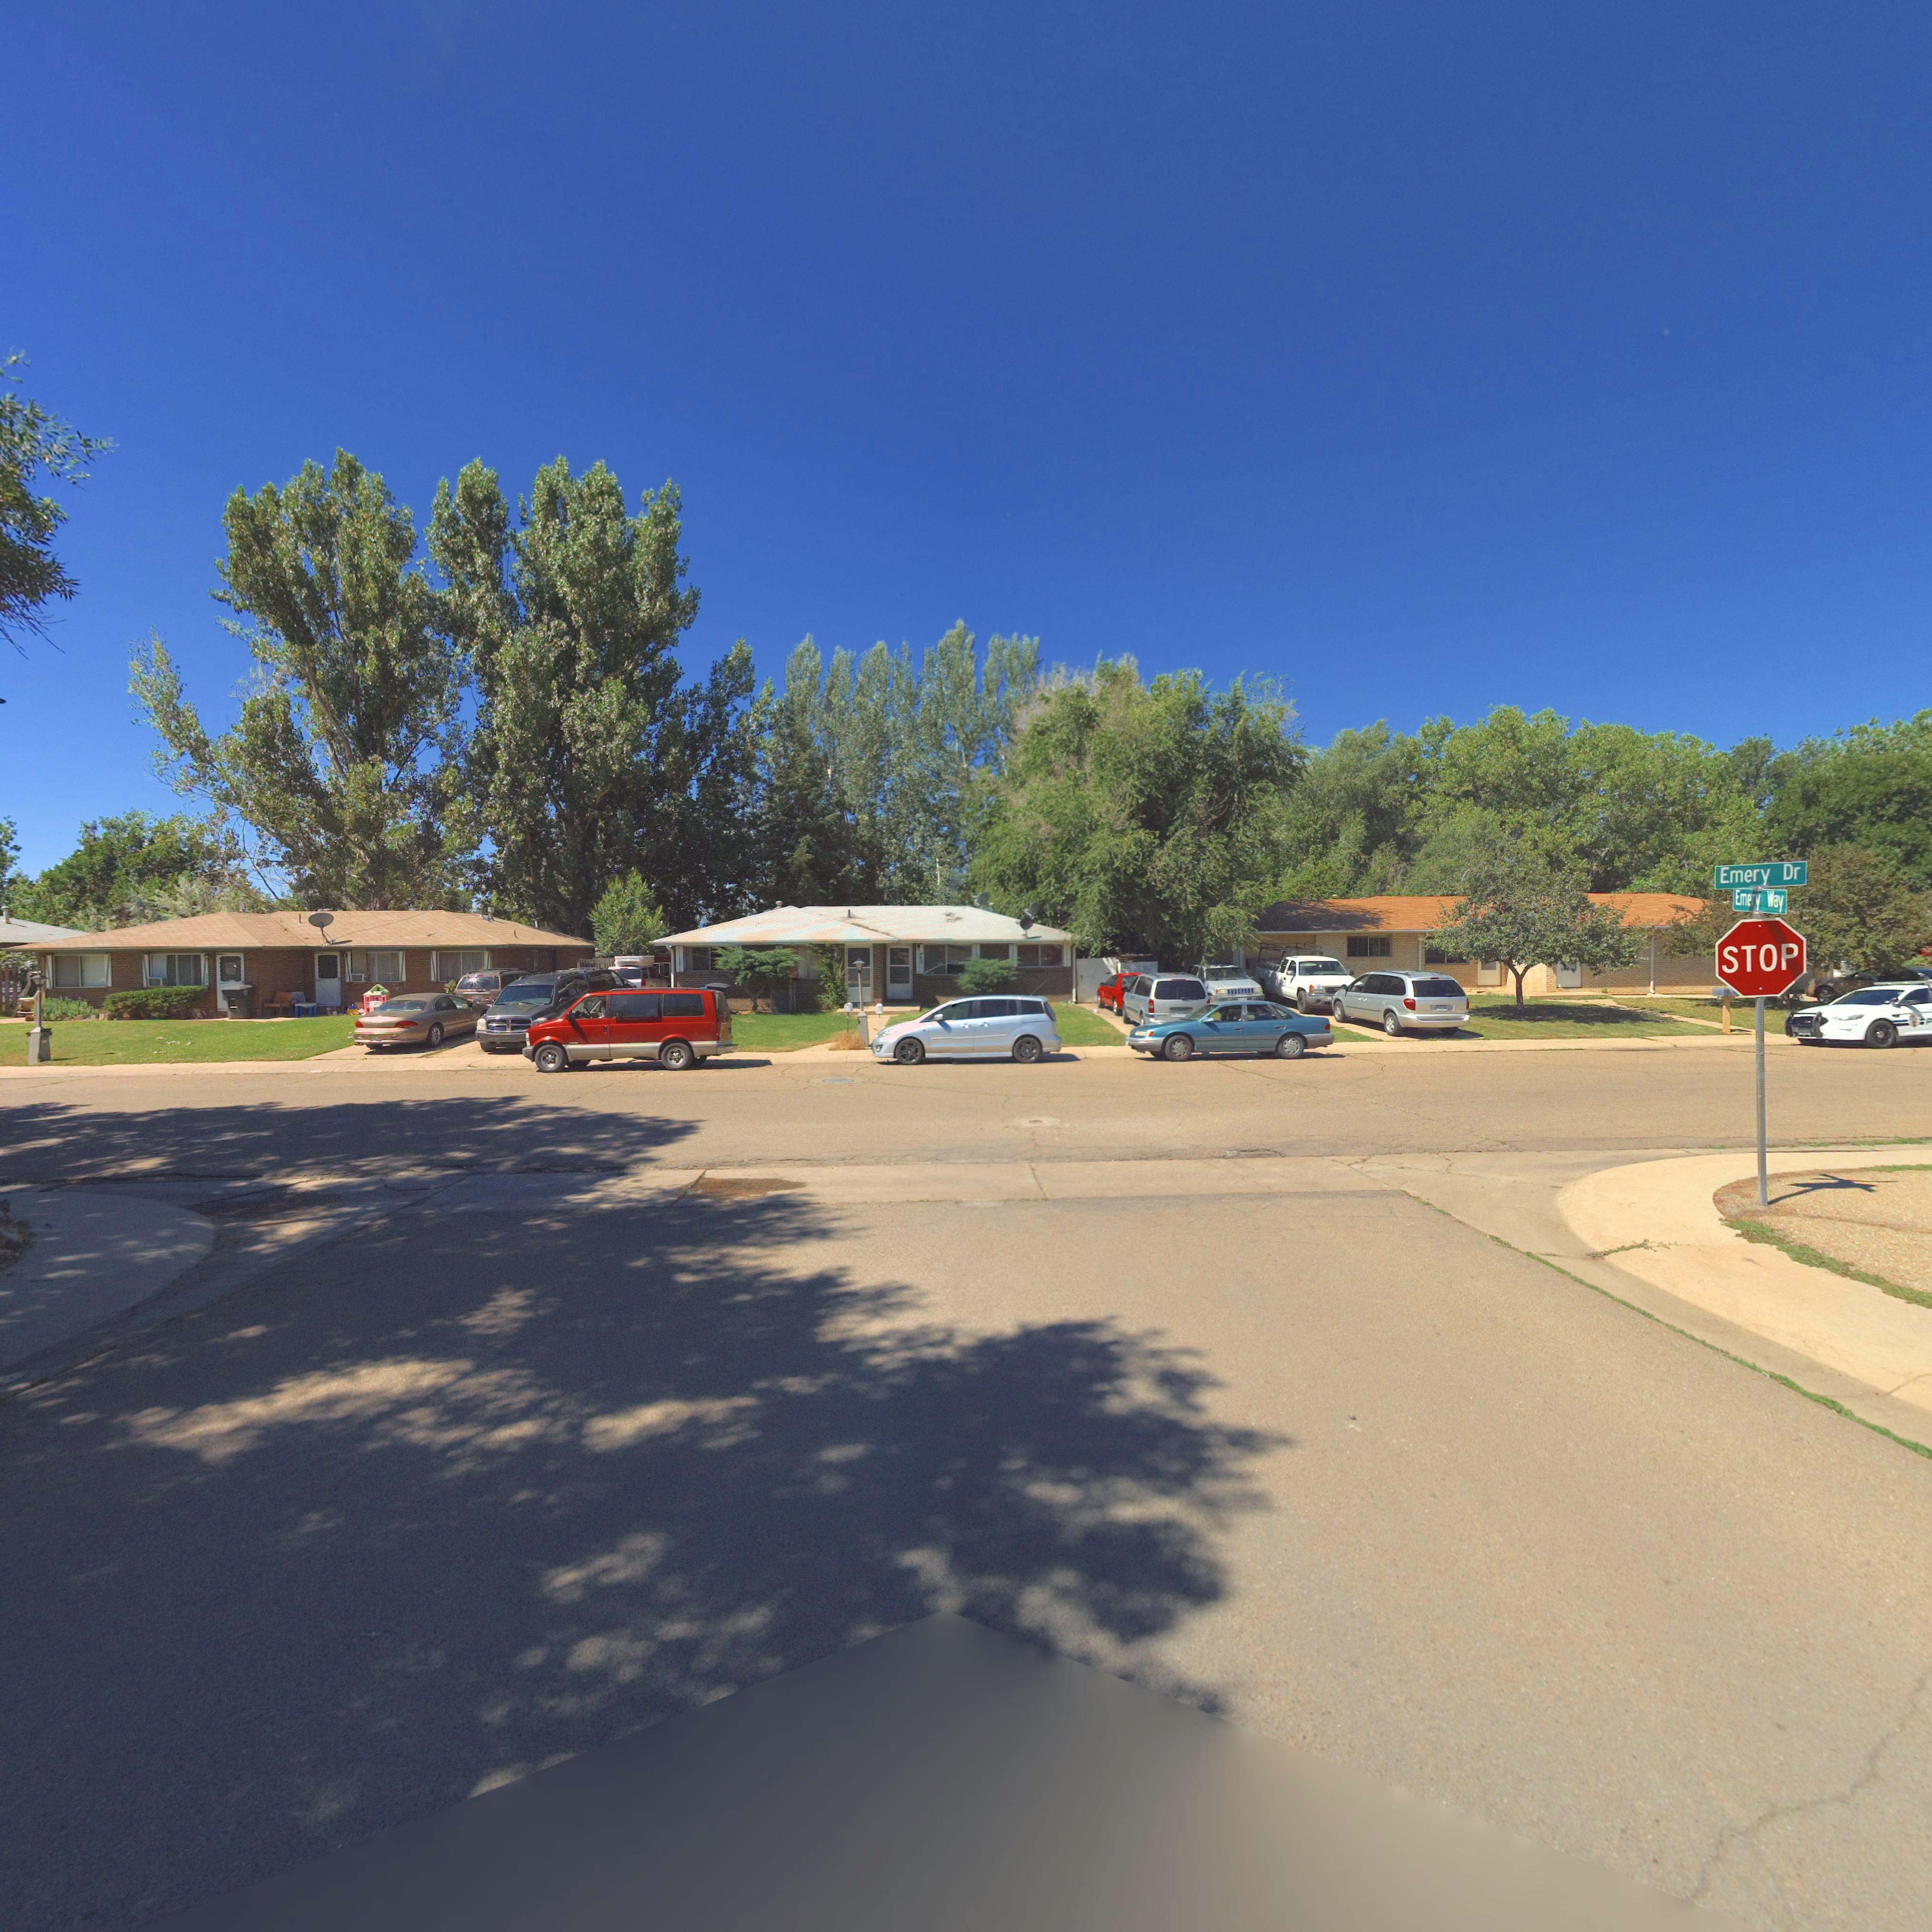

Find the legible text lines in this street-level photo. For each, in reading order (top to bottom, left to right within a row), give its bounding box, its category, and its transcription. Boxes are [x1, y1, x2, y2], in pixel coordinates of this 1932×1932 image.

[1719, 863, 1802, 886] StreetName: Emery Dr
[1735, 889, 1787, 914] StreetName: Emery Way
[919, 952, 922, 964] StreetNumber: 403
[1721, 943, 1799, 973] BusinessName: STOP
[205, 973, 208, 984] StreetNumber: 3**